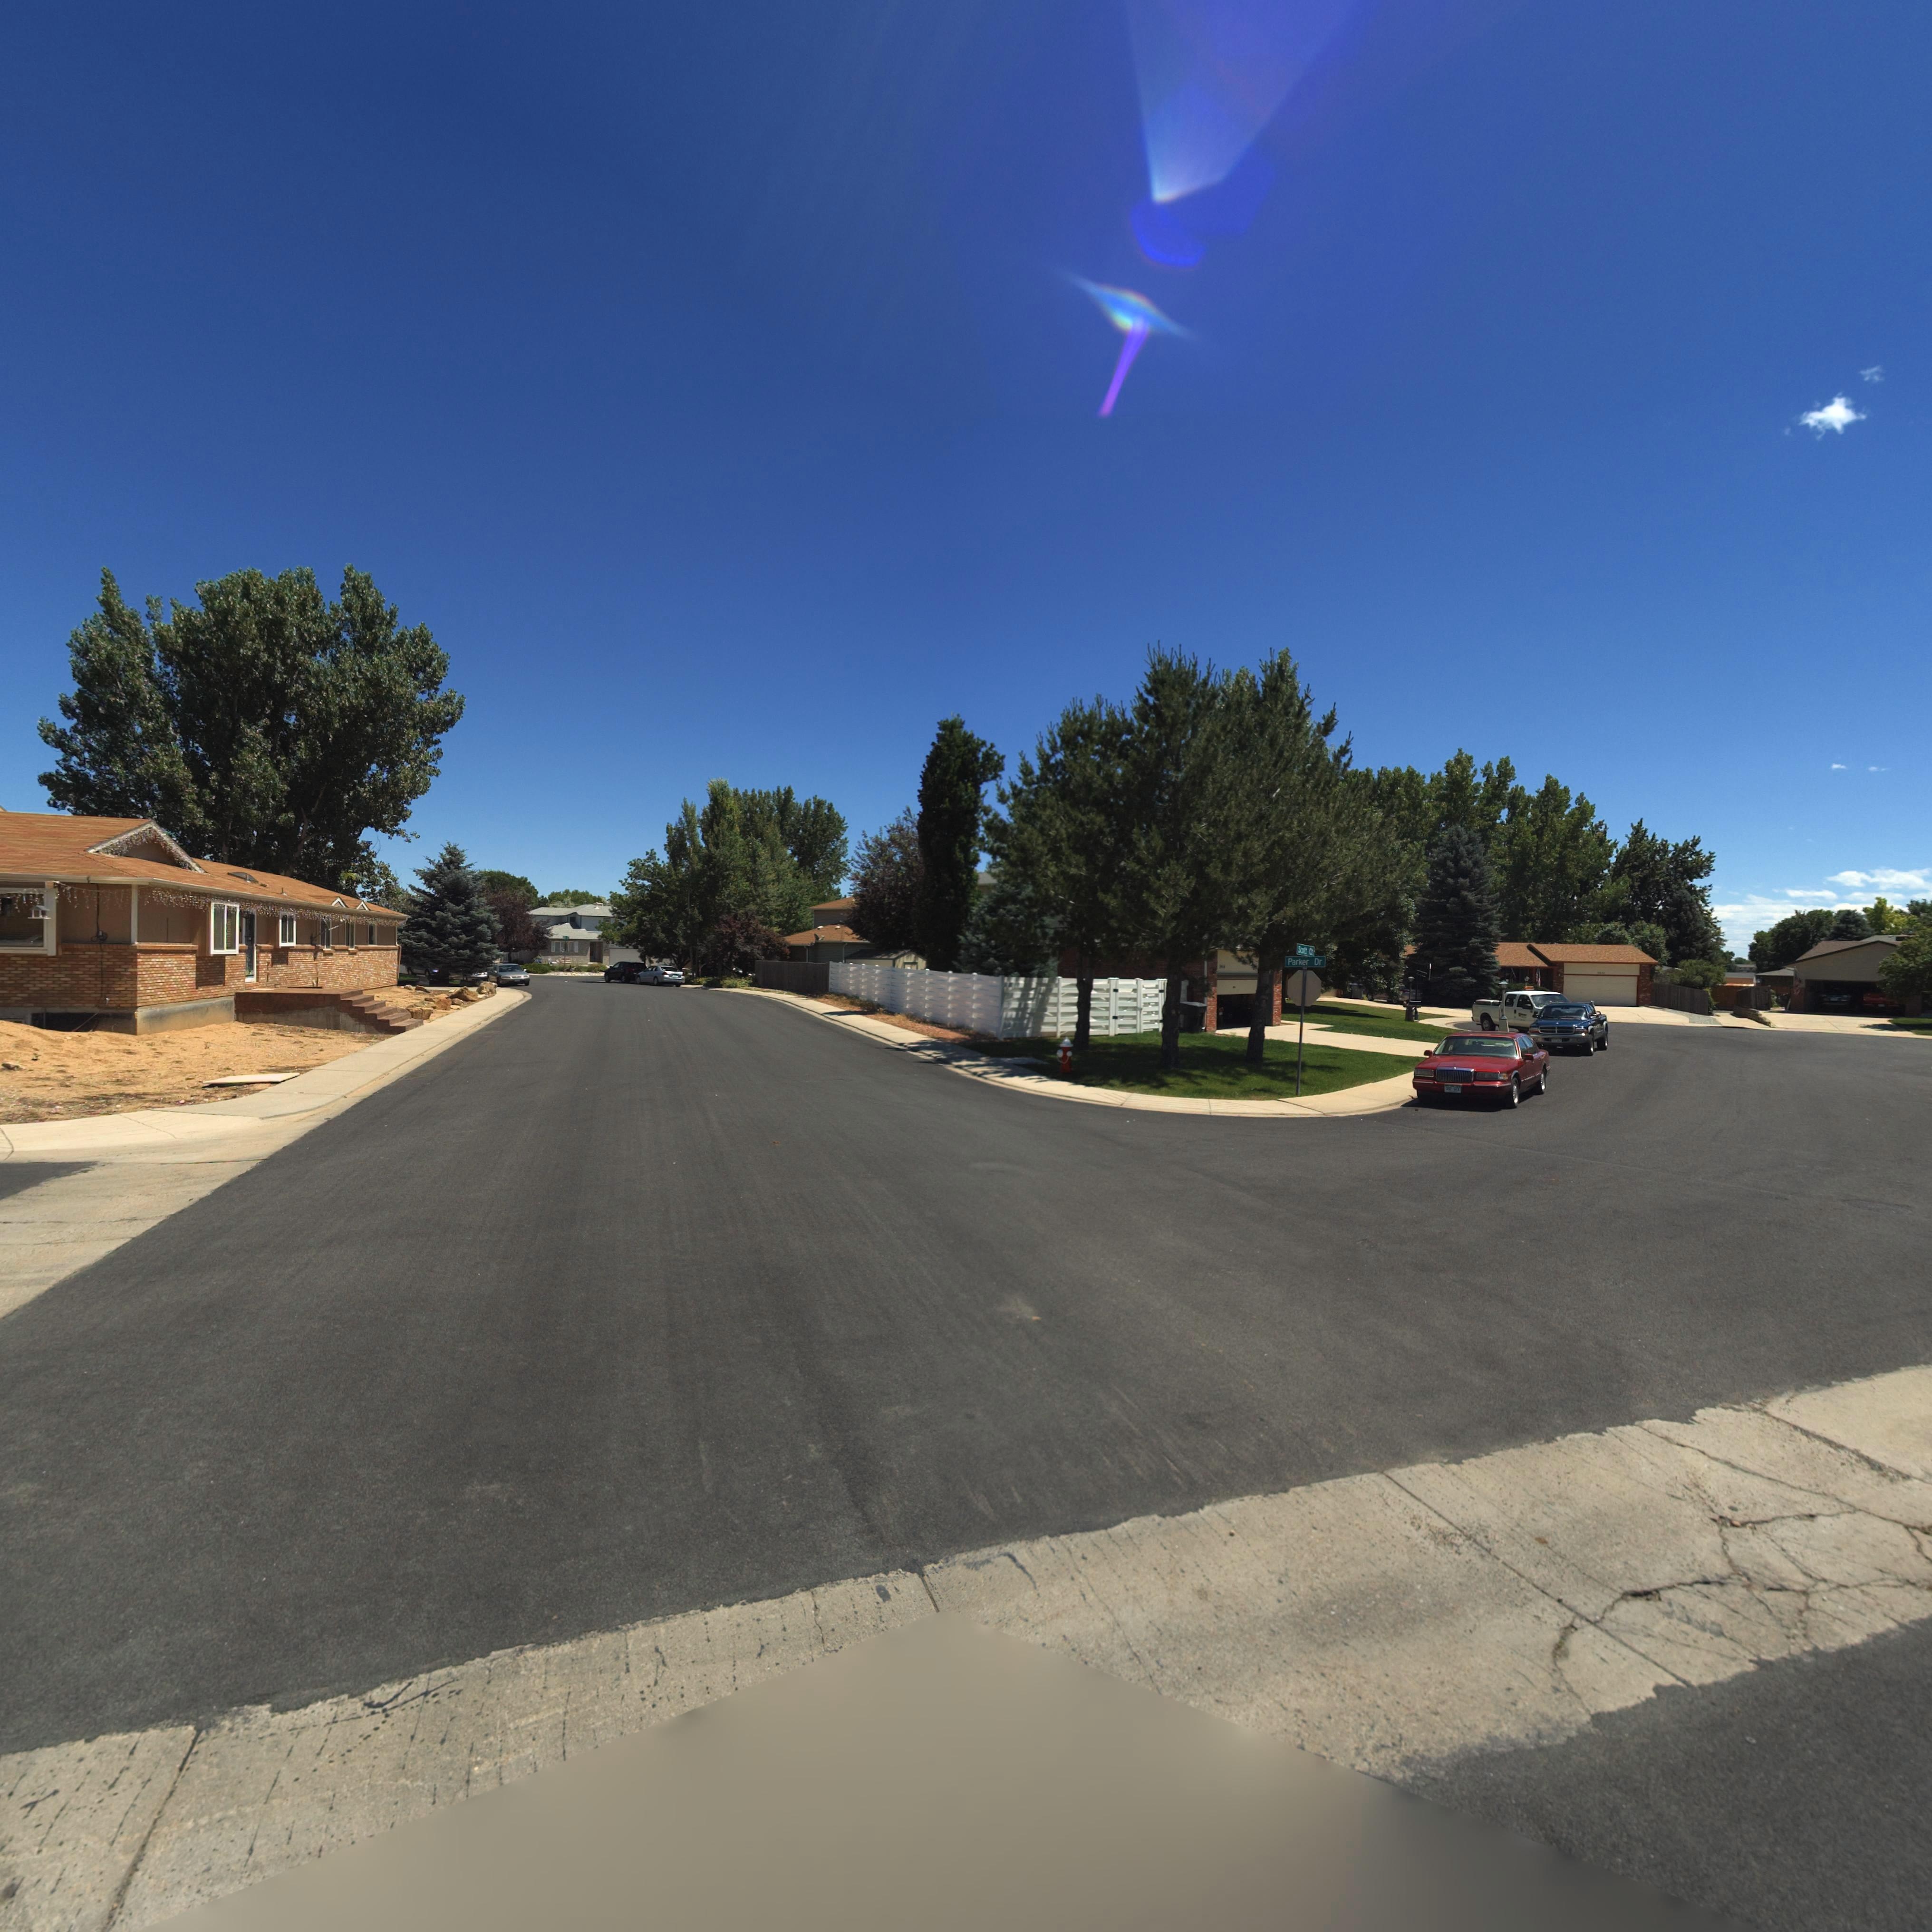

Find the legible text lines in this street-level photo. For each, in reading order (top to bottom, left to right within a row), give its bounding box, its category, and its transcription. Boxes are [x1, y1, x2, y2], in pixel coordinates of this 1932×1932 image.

[1297, 946, 1313, 956] StreetName: Sc*tt C*
[1287, 957, 1322, 966] StreetName: Parker Dr